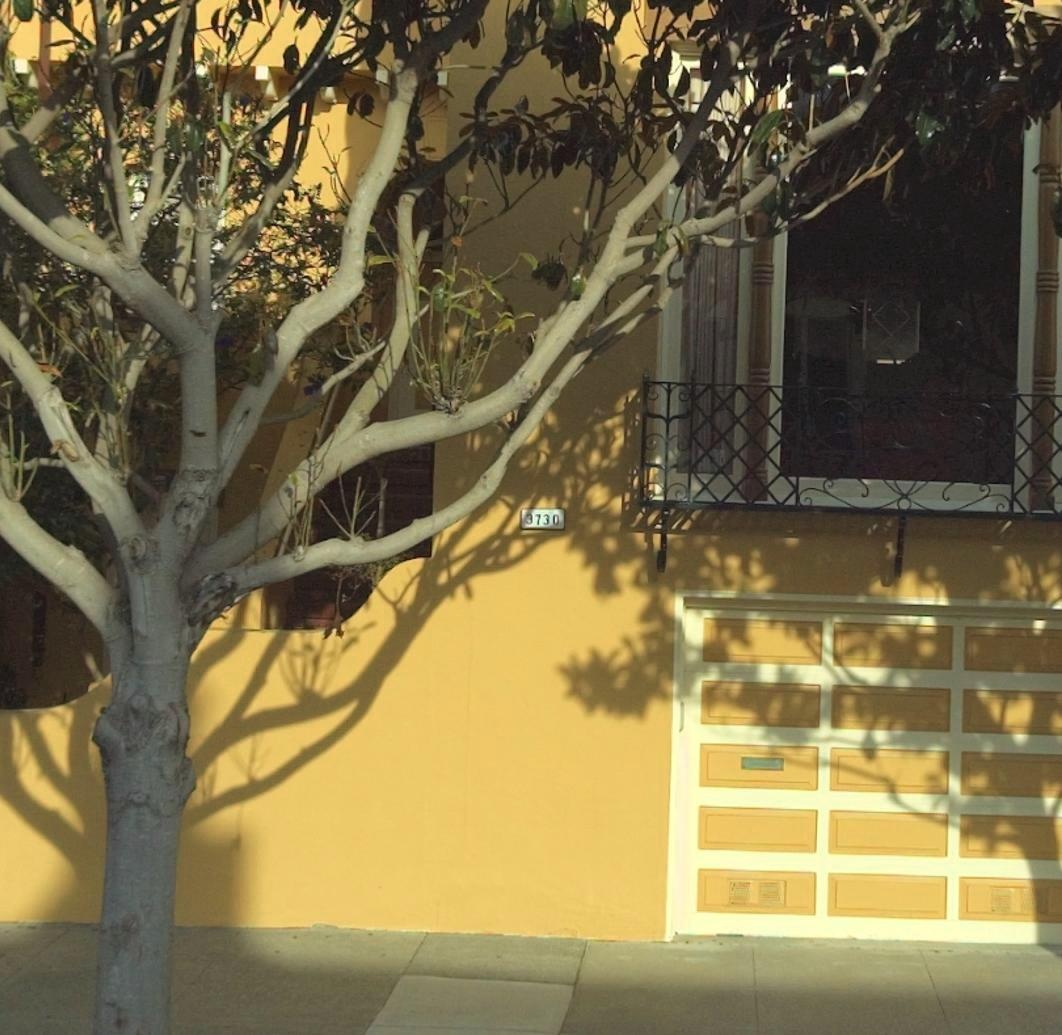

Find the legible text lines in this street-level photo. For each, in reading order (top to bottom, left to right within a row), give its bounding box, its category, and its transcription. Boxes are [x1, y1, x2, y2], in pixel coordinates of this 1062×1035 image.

[523, 510, 562, 528] StreetNumber: 3730